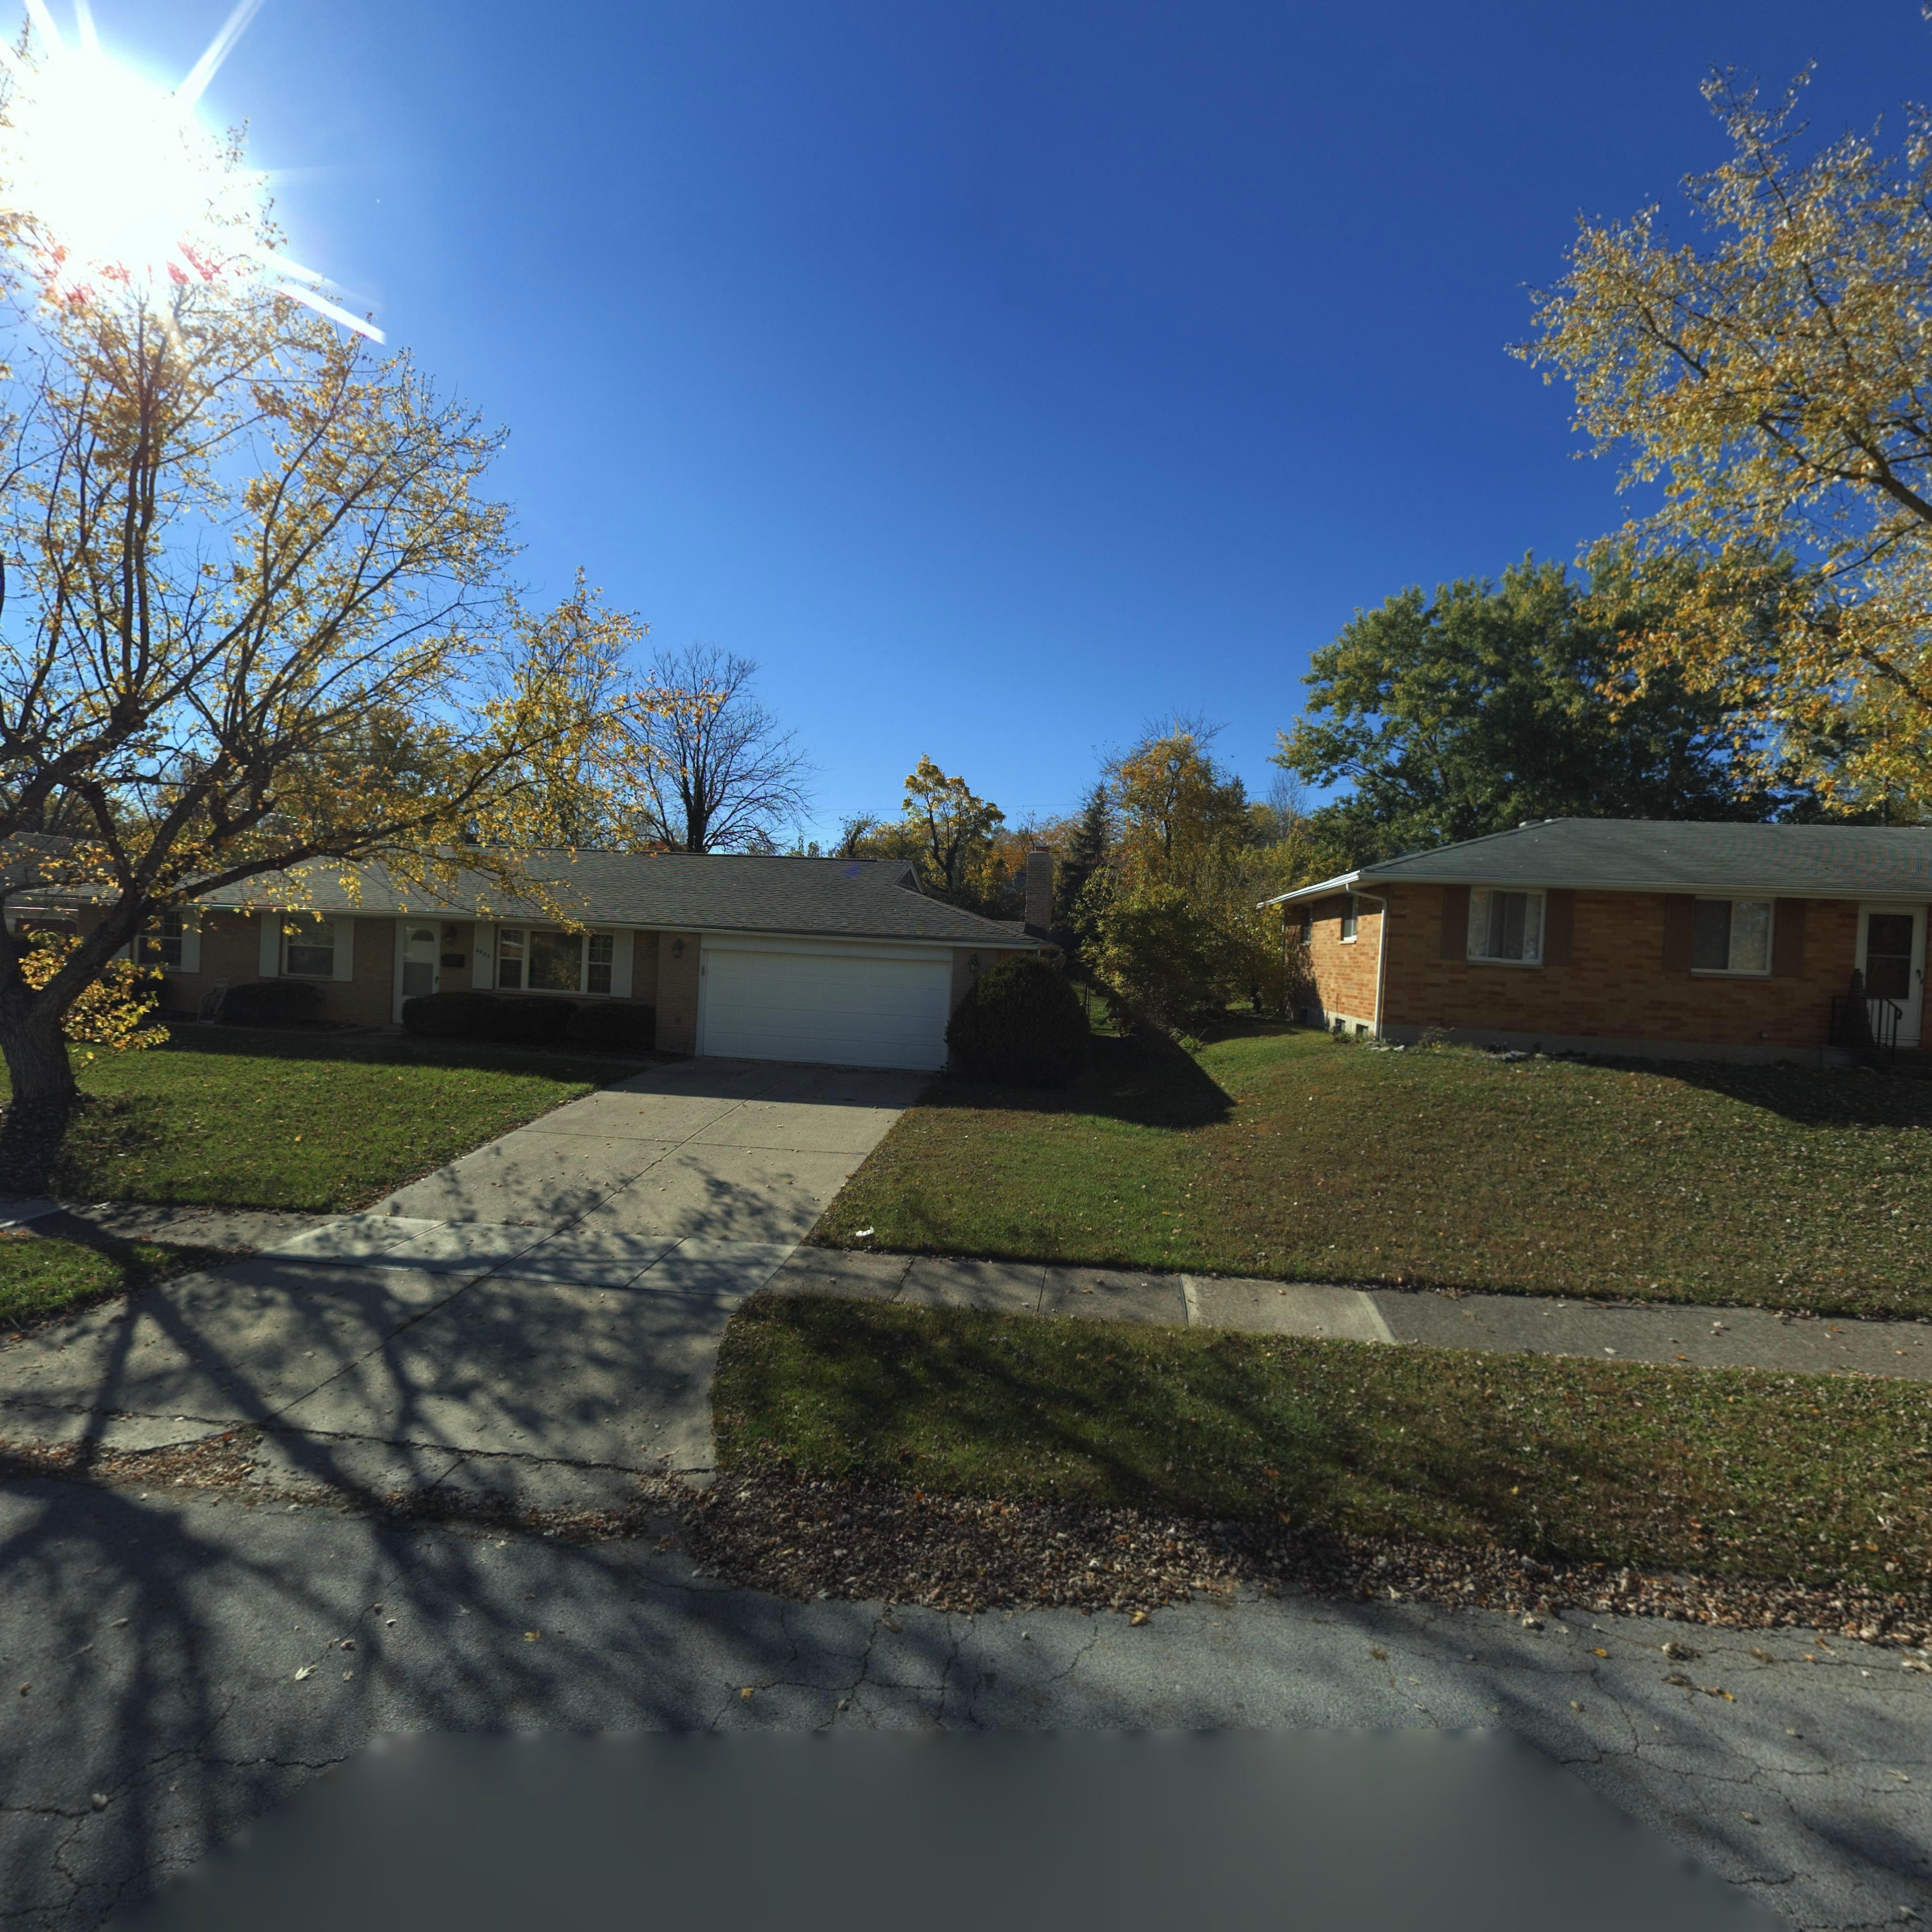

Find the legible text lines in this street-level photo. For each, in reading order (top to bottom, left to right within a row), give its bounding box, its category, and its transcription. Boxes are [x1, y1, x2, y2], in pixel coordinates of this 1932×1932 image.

[476, 947, 491, 959] StreetNumber: 6825